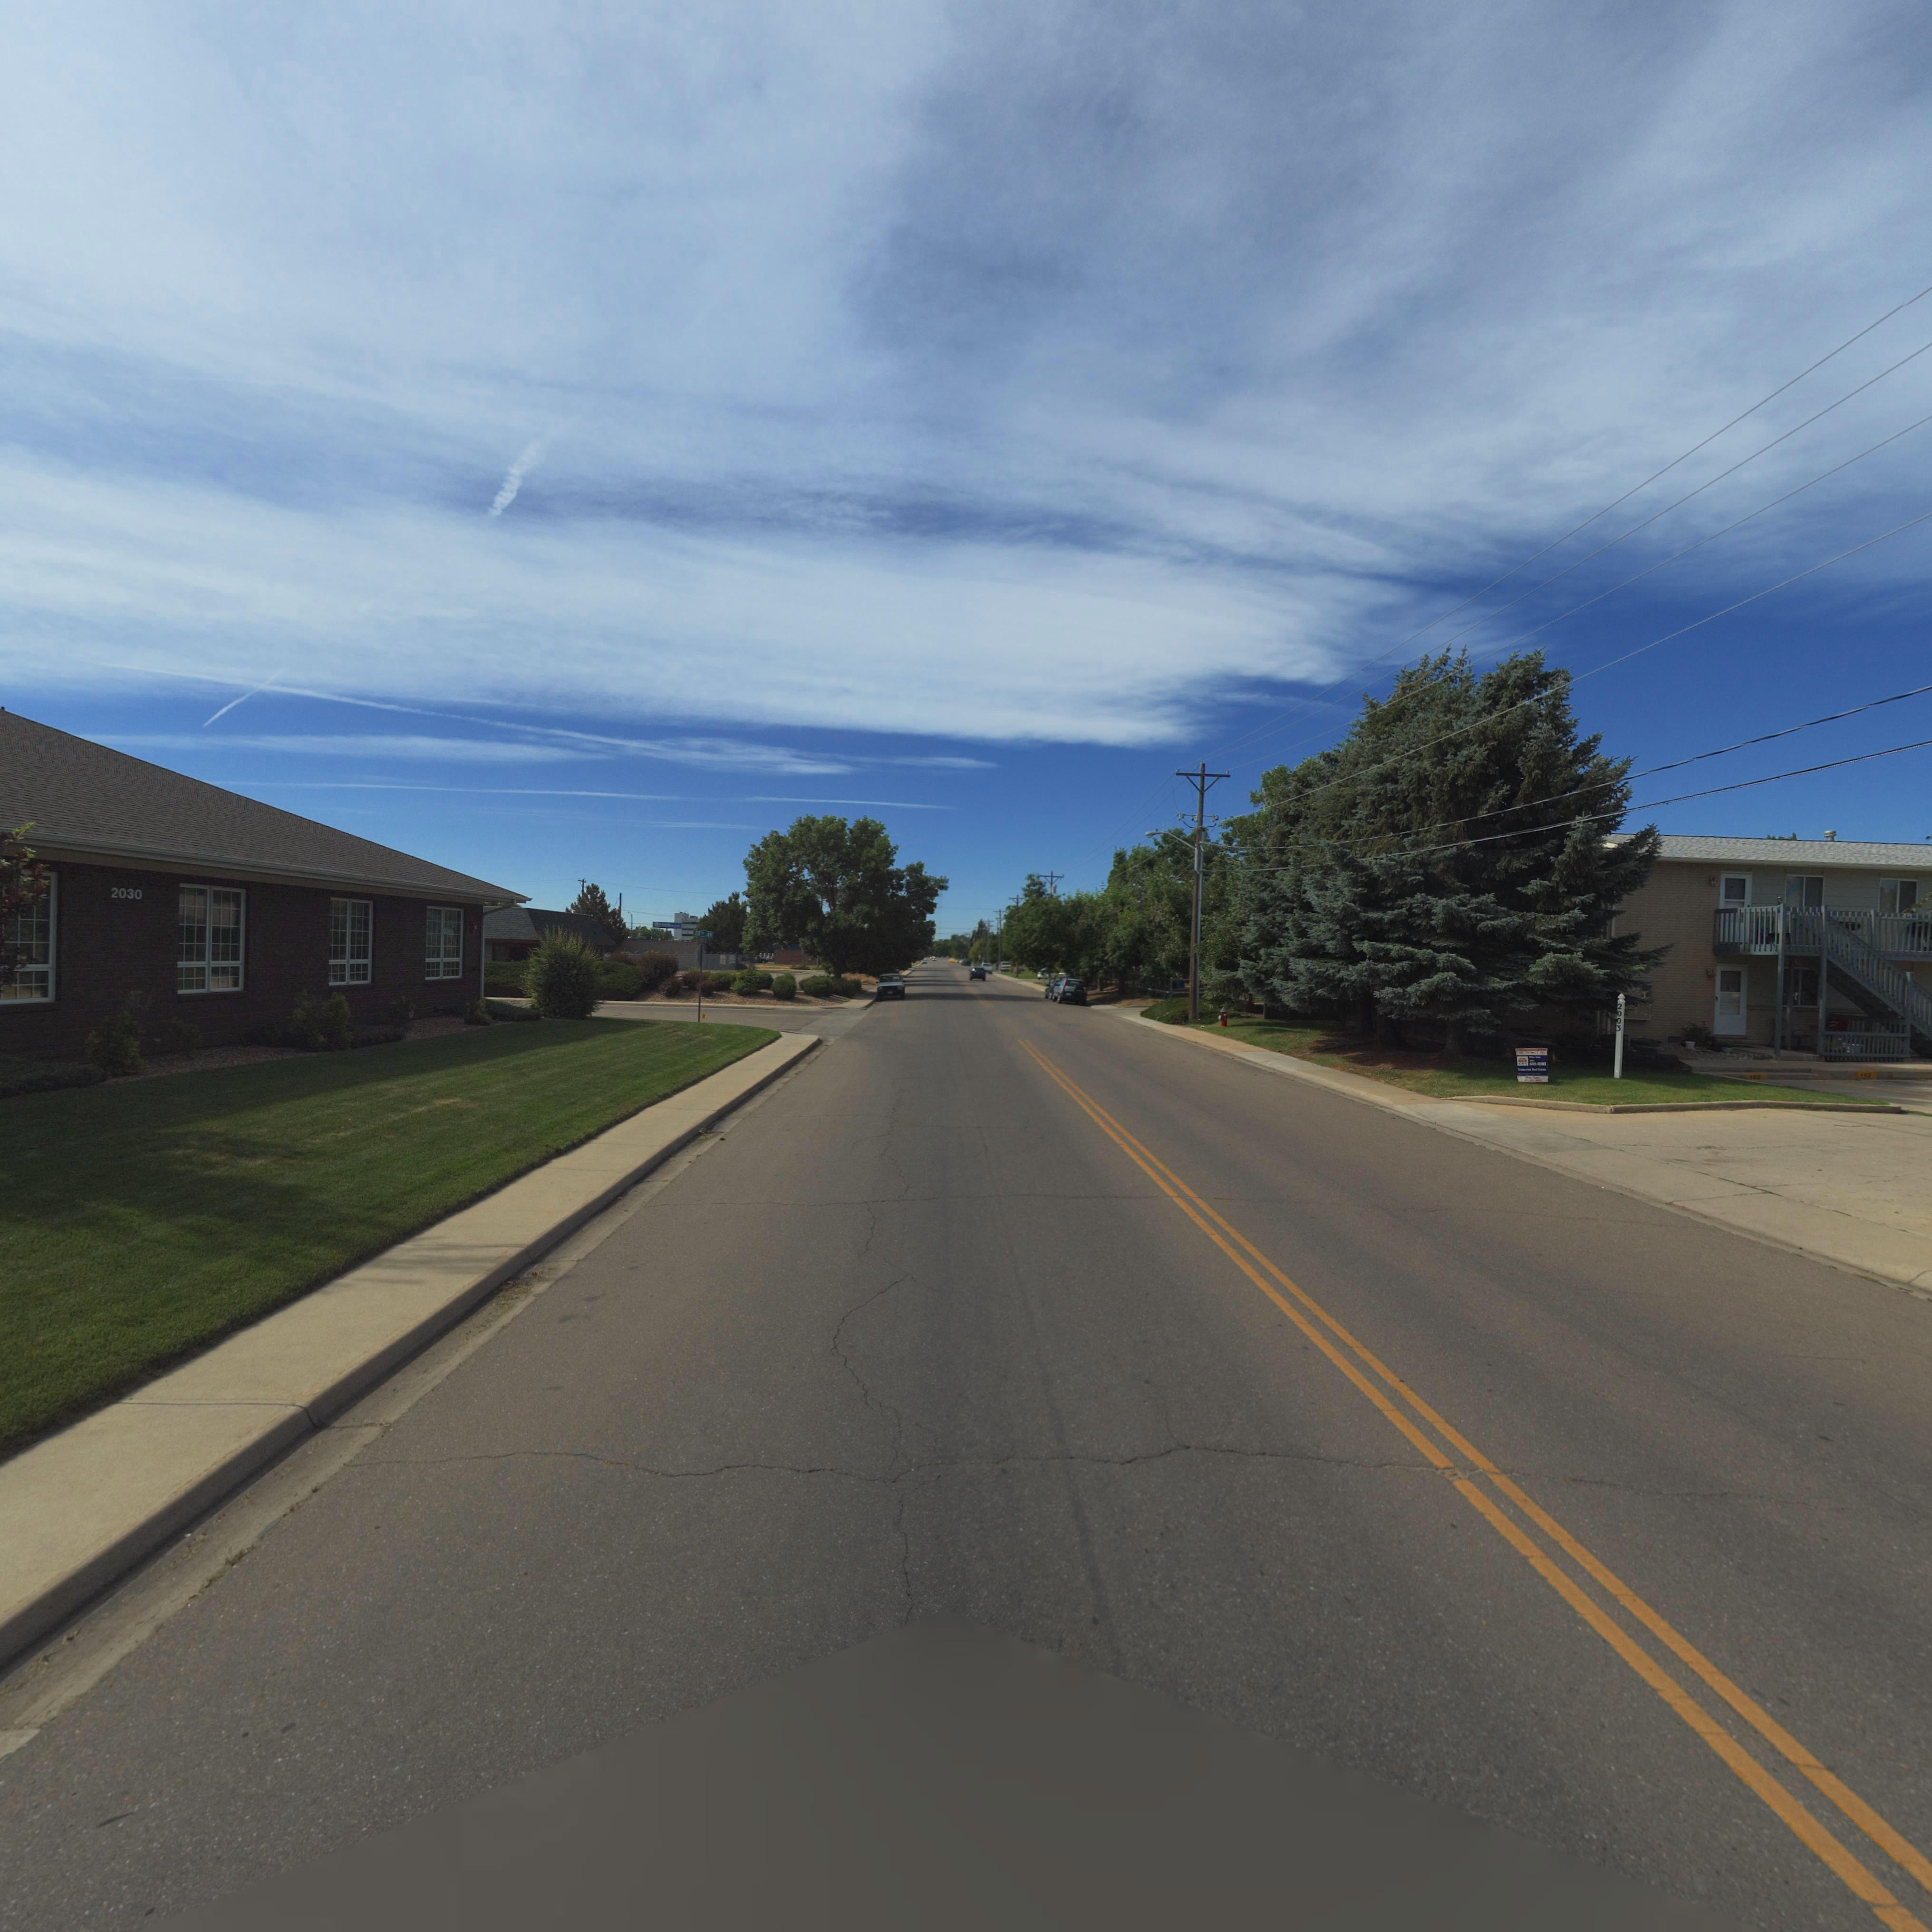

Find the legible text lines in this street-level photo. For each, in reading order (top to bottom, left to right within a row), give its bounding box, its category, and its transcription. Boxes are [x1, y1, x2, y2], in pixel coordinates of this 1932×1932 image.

[111, 887, 142, 899] StreetNumber: 2030
[694, 930, 713, 937] StreetName: 20** AV
[697, 937, 707, 944] BusinessName: *ER* ST
[1615, 1003, 1622, 1032] StreetNumber: 2003